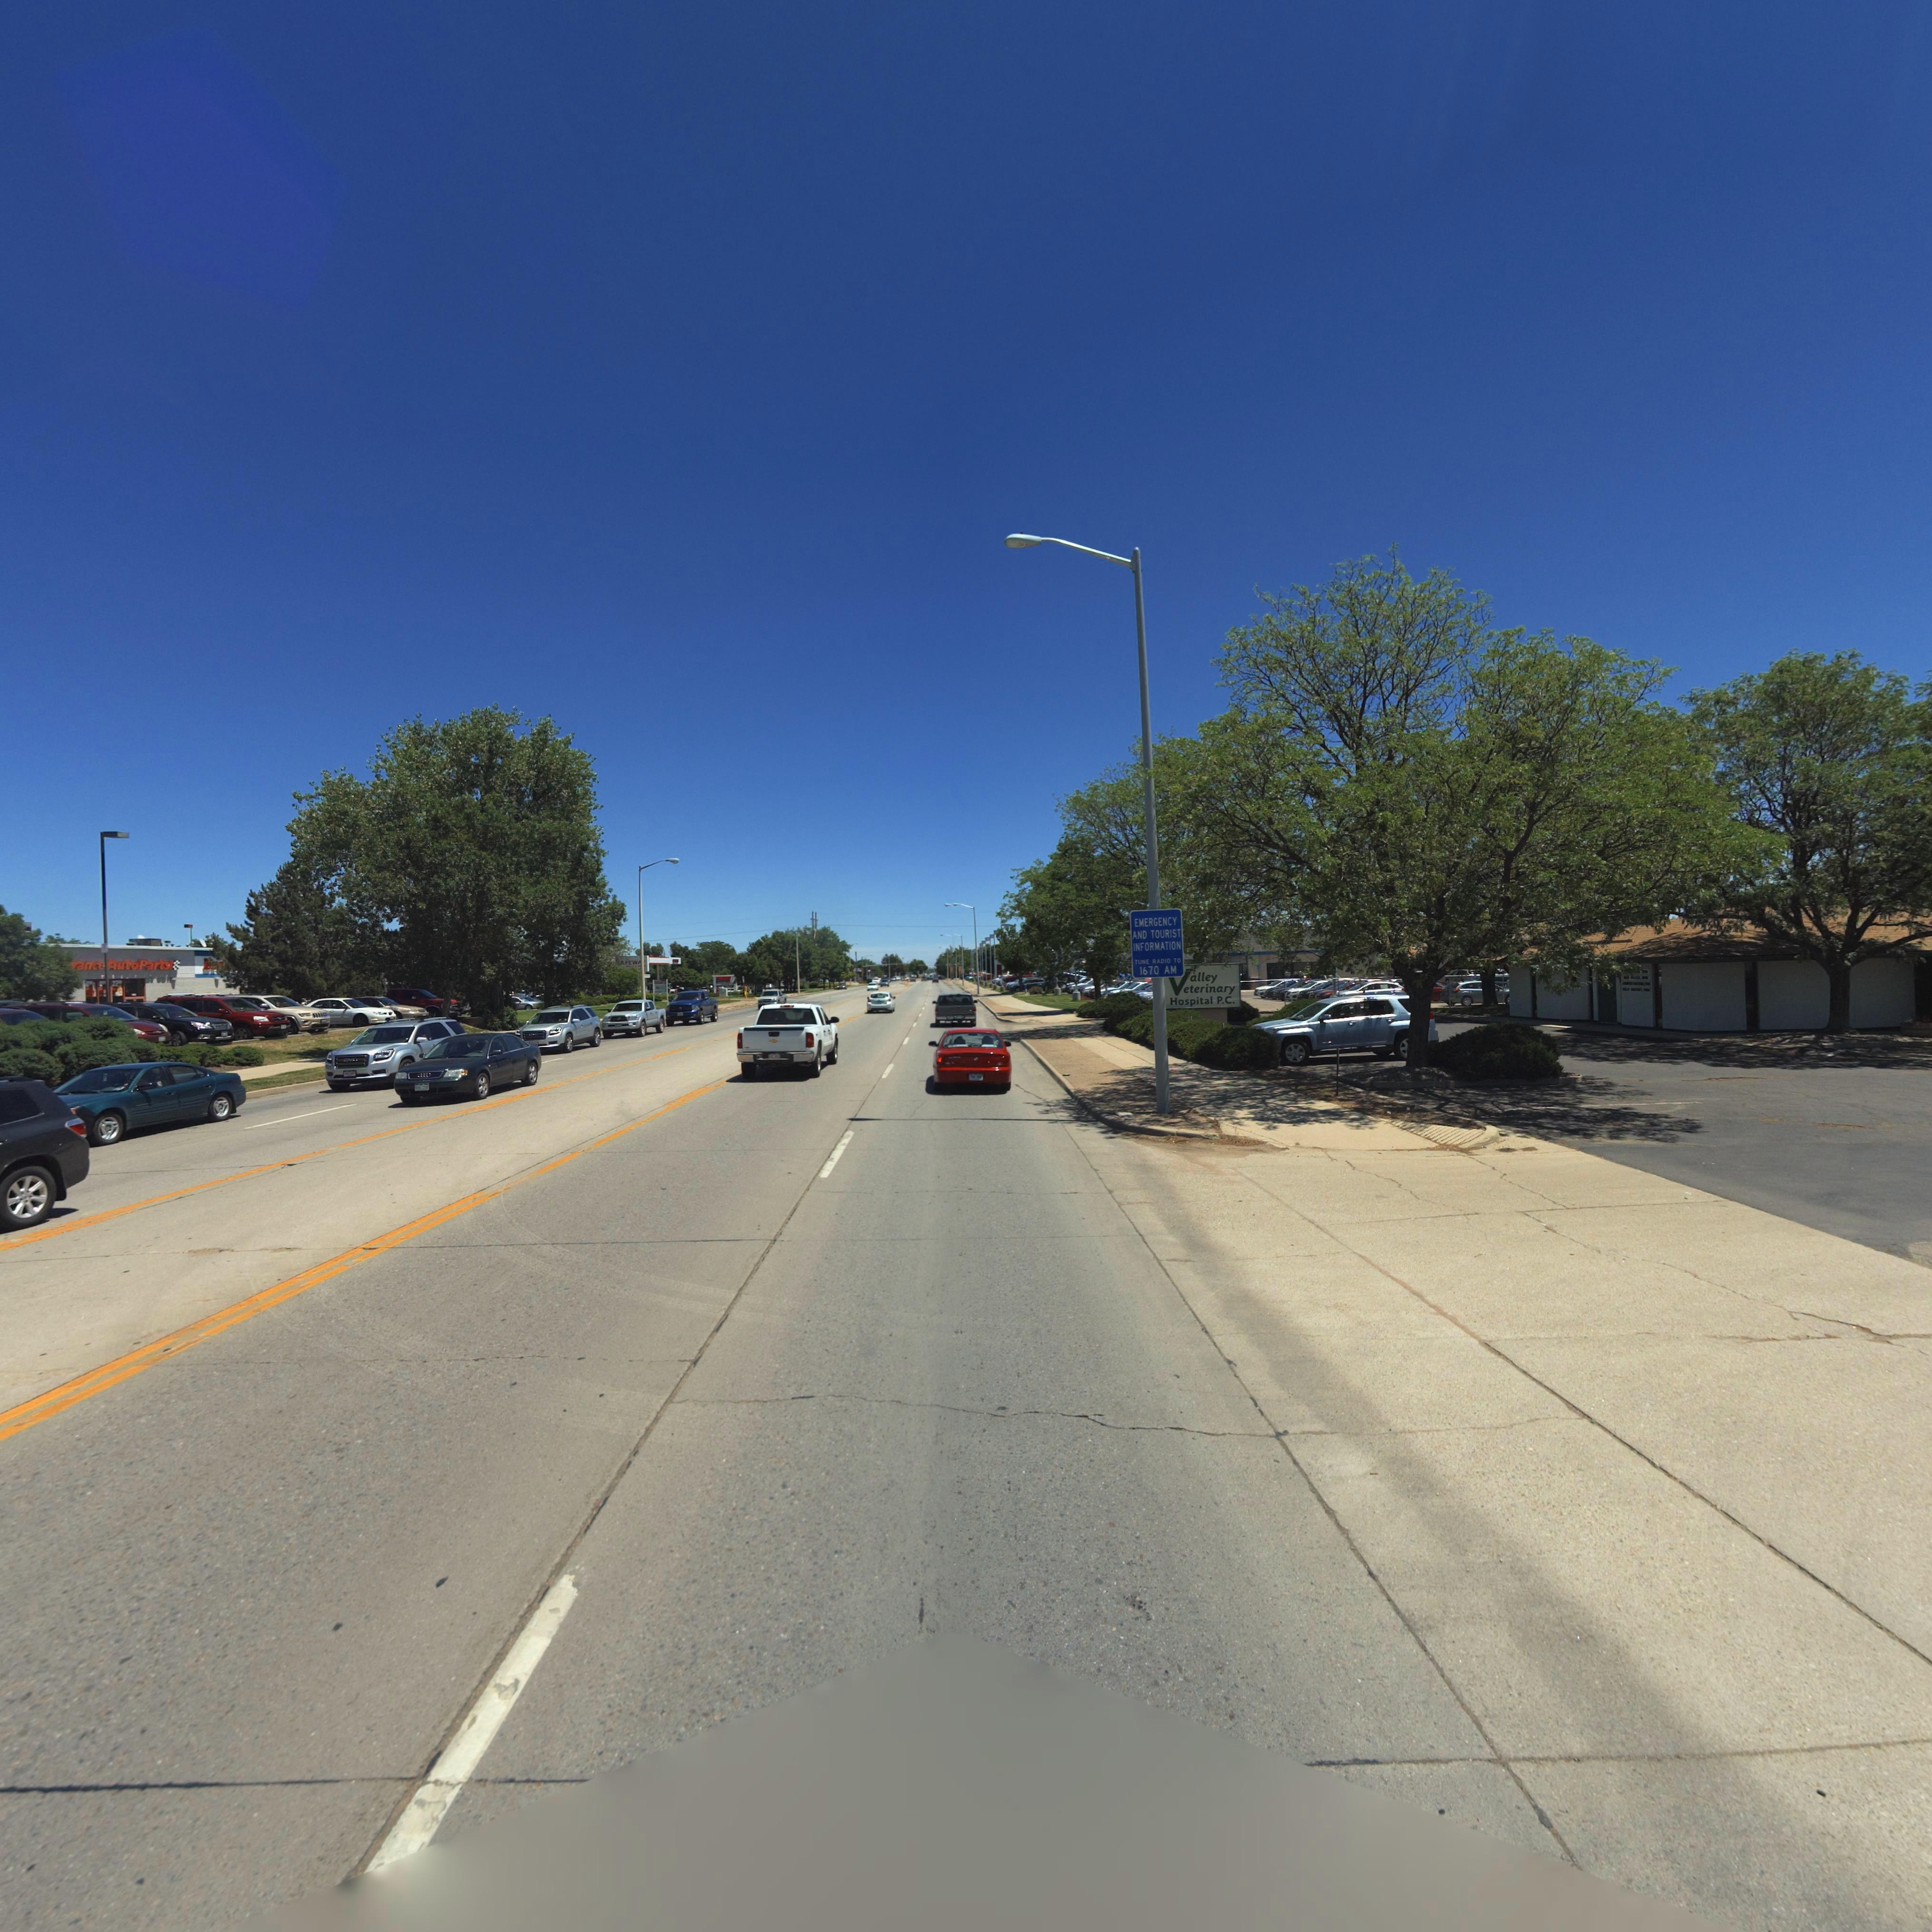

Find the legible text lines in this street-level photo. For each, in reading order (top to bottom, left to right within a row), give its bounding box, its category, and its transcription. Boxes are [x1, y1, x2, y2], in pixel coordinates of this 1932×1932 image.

[71, 958, 171, 971] BusinessName: vance AutoParts
[617, 959, 646, 965] BusinessName: SAFEW**
[1167, 968, 1196, 996] BusinessName: V
[1189, 971, 1218, 984] BusinessName: alley
[1182, 983, 1236, 995] BusinessName: eterinary
[1169, 995, 1235, 1007] BusinessName: Hospital P.C.